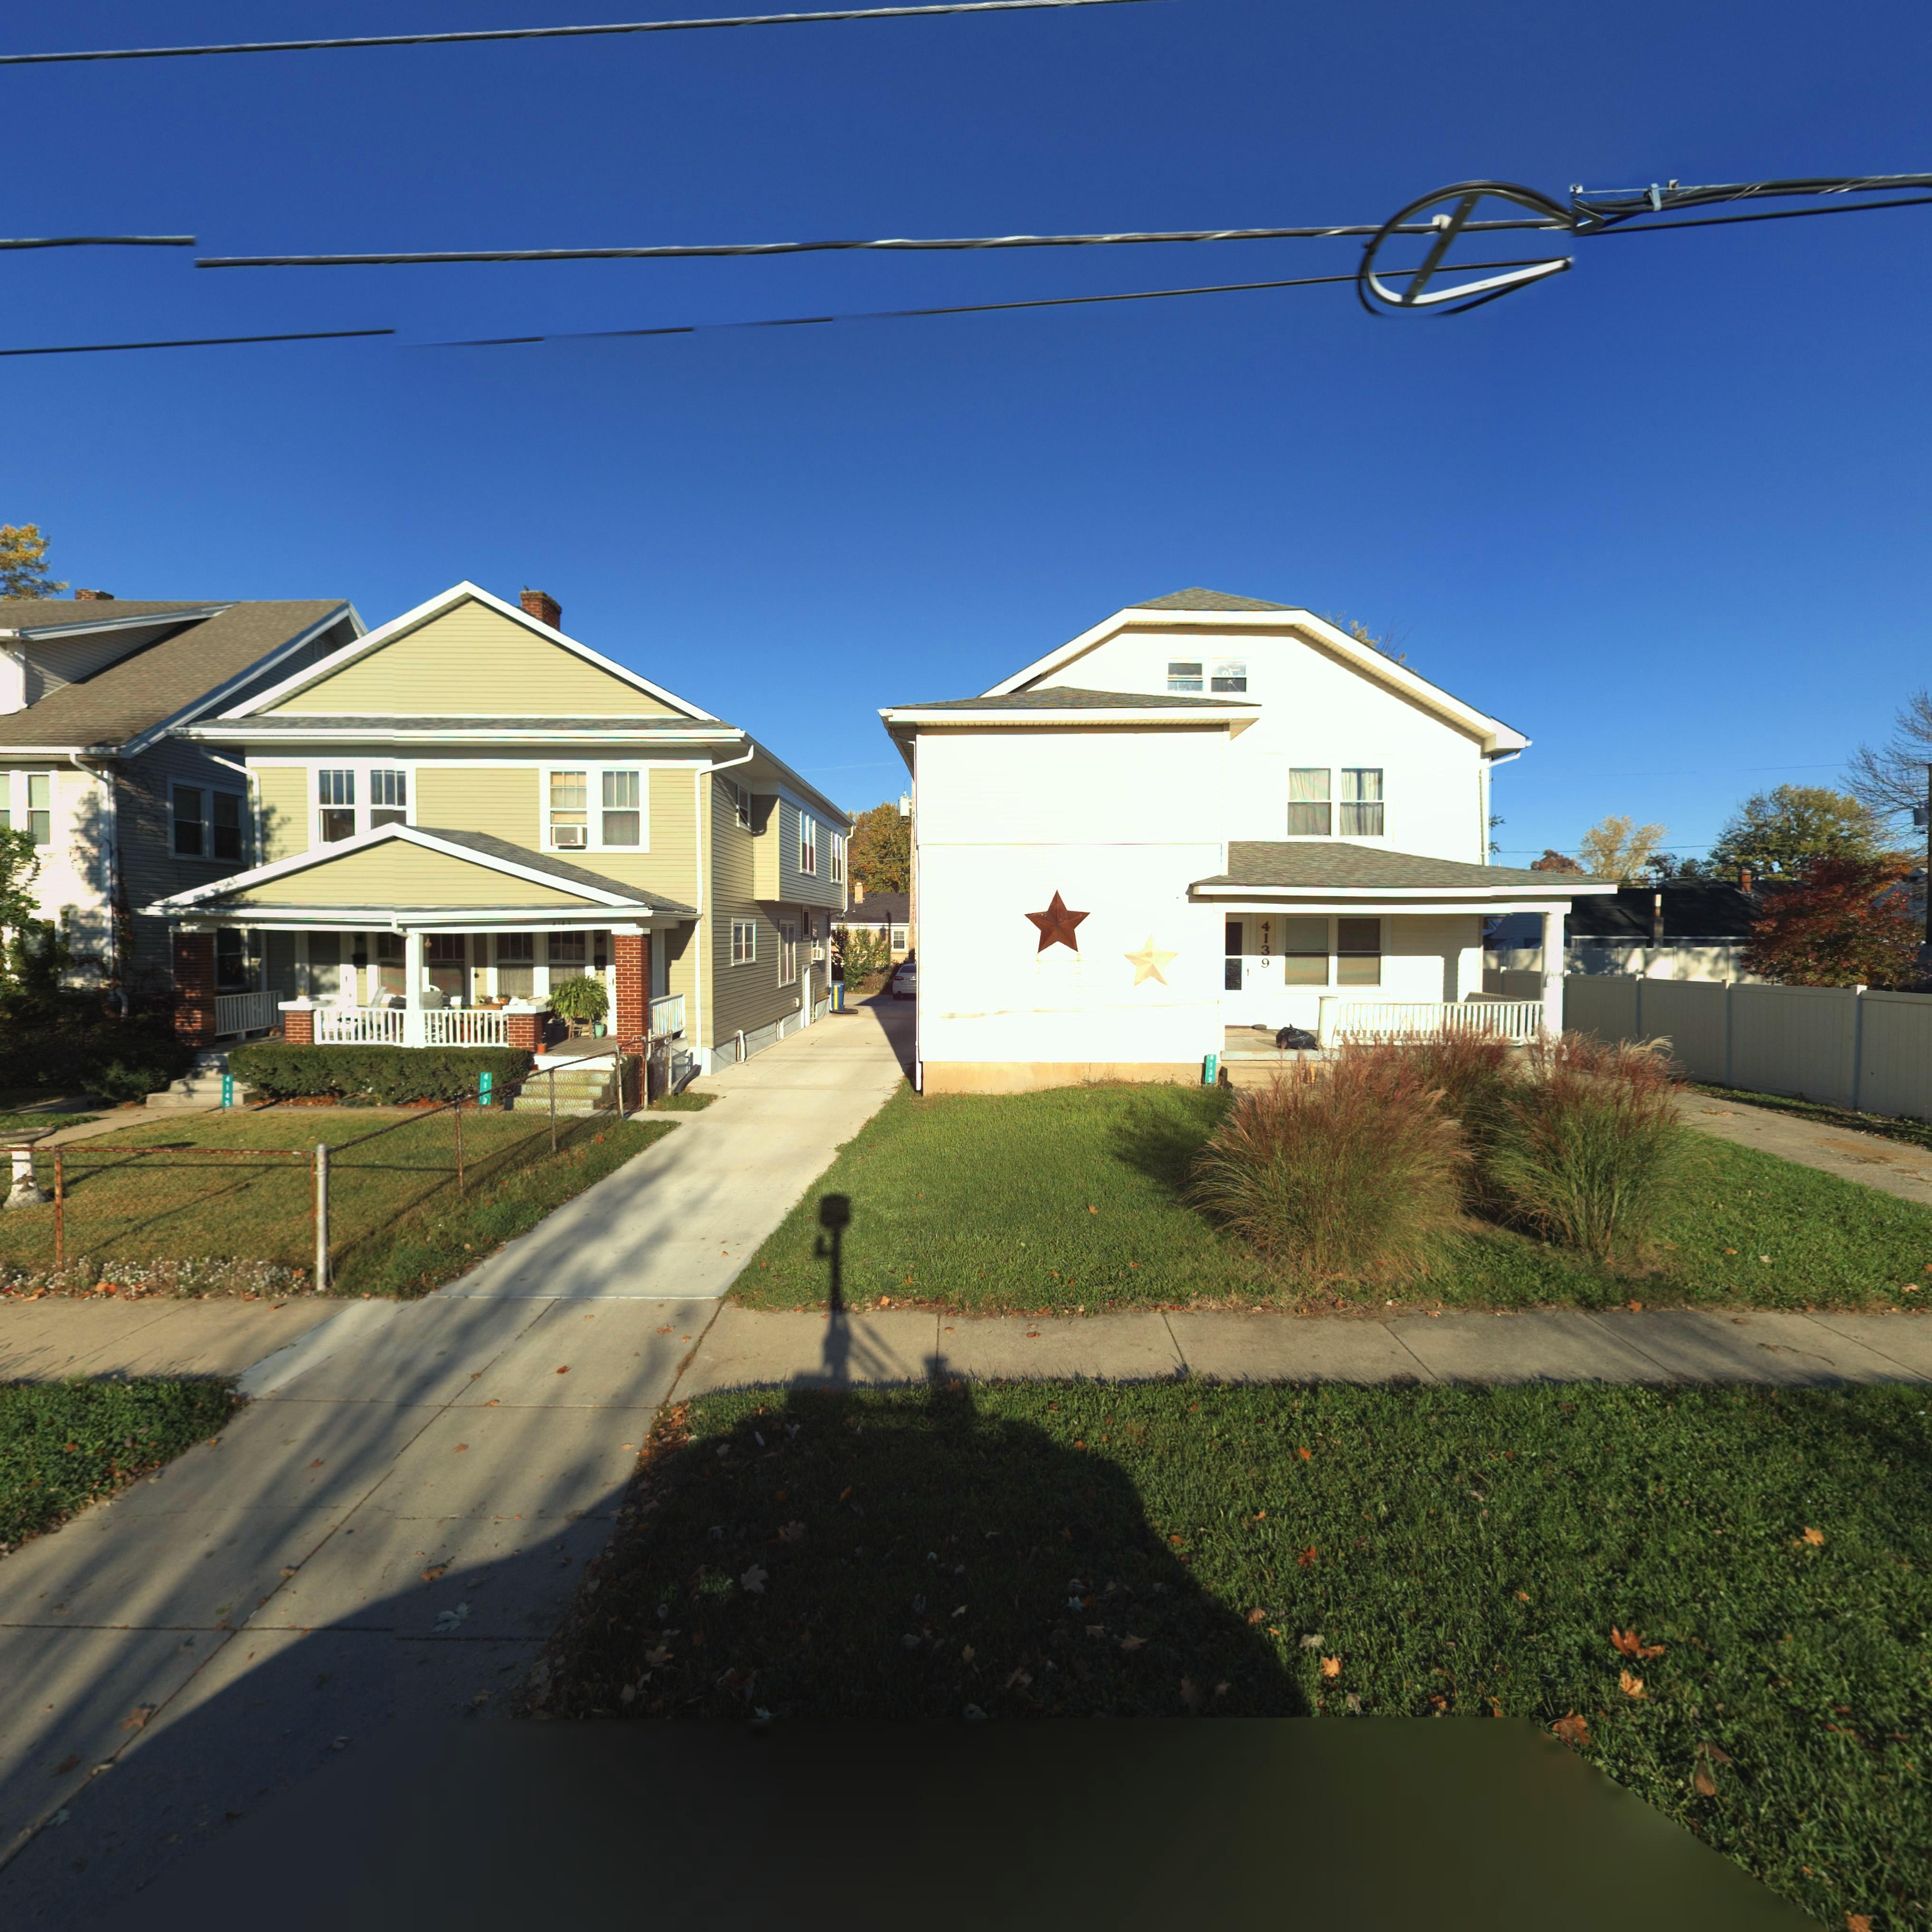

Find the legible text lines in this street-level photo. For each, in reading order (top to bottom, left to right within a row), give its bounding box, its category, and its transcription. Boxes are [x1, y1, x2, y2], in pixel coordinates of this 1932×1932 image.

[552, 920, 572, 926] StreetNumber: 4143
[1261, 920, 1270, 968] StreetNumber: 4139
[1207, 1054, 1215, 1083] StreetNumber: 4139
[224, 1075, 231, 1107] StreetNumber: 4145
[481, 1073, 489, 1105] StreetNumber: 41*3